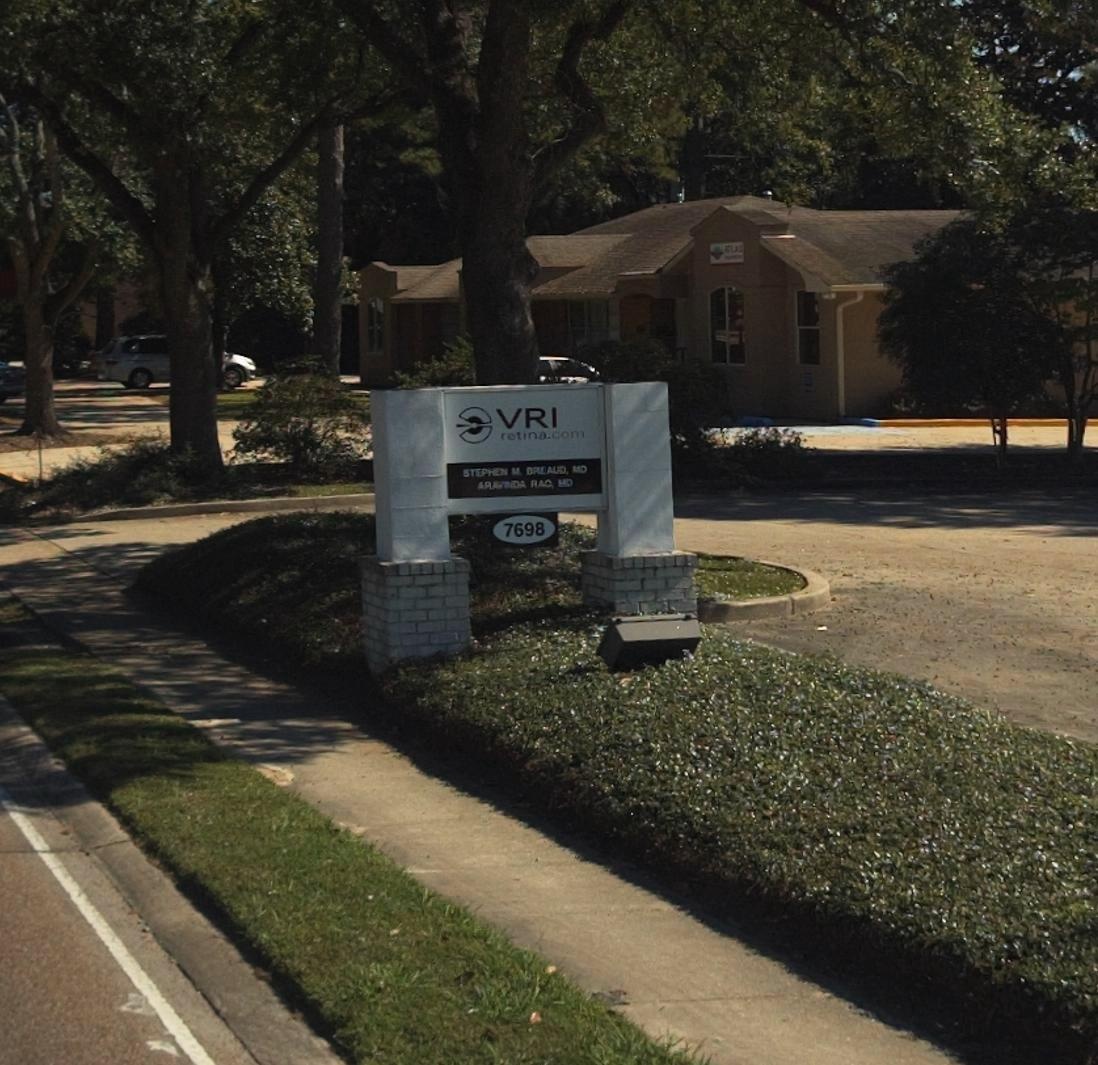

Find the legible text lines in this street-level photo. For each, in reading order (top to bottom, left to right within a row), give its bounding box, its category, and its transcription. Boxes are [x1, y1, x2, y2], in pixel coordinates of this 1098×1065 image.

[493, 405, 559, 432] BusinessName: VRI
[498, 428, 587, 443] BusinessName: retina.com
[461, 462, 590, 480] None: STEPHEN M BR*AL*D, MD
[475, 476, 576, 492] None: A******DA RAO, MD
[502, 521, 546, 540] StreetNumber: 7698